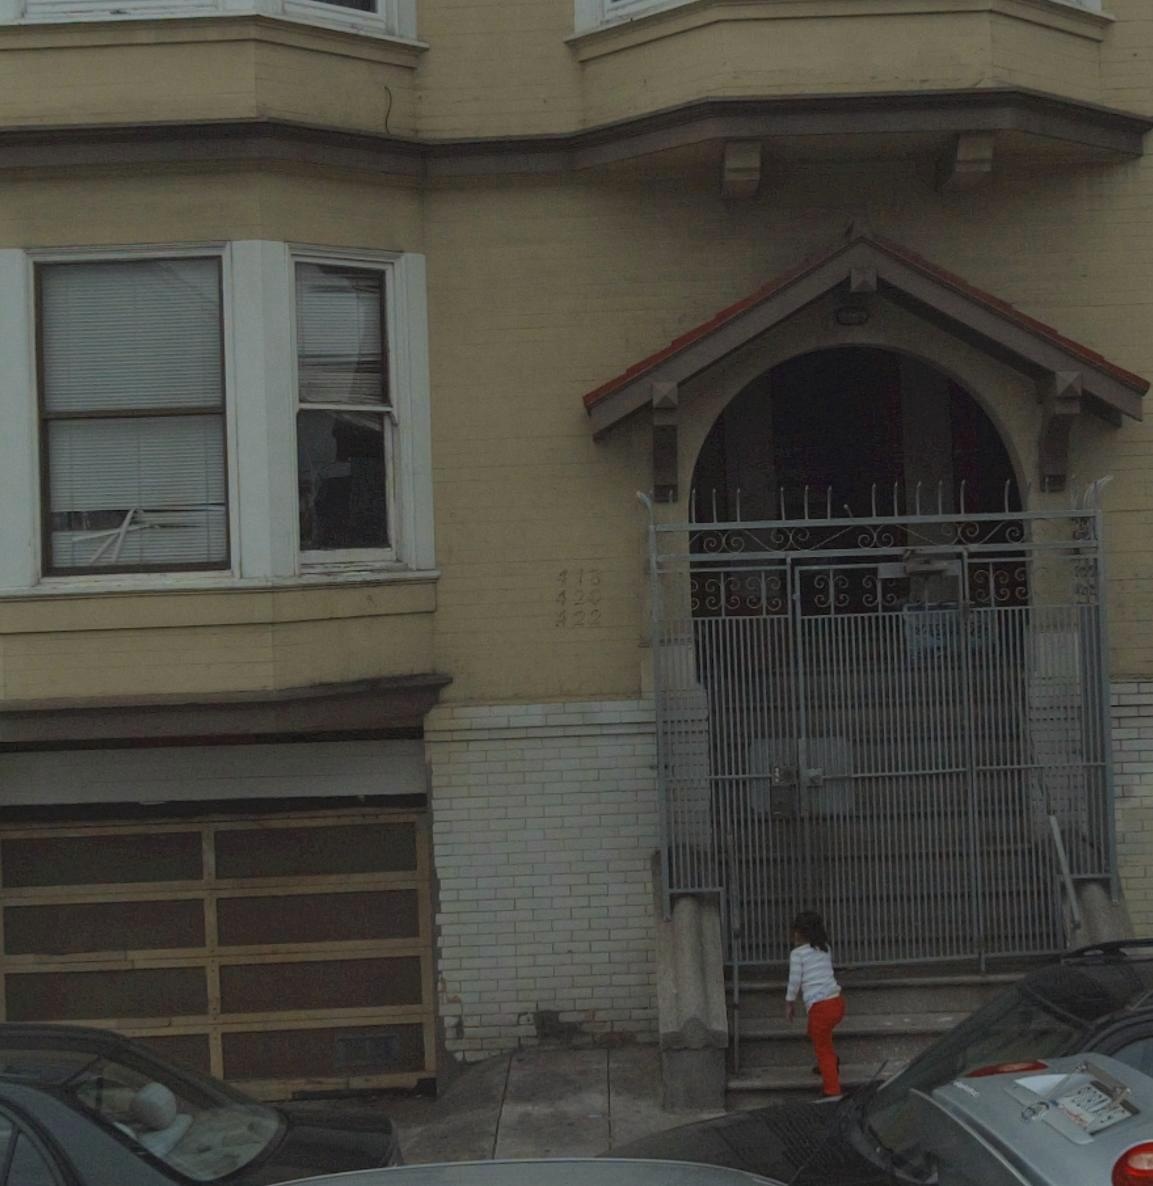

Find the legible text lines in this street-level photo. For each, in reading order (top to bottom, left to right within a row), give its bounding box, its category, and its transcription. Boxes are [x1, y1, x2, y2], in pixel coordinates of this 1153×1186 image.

[554, 567, 603, 586] StreetNumber: 418
[552, 587, 603, 607] StreetNumber: 420
[554, 608, 602, 627] StreetNumber: 422